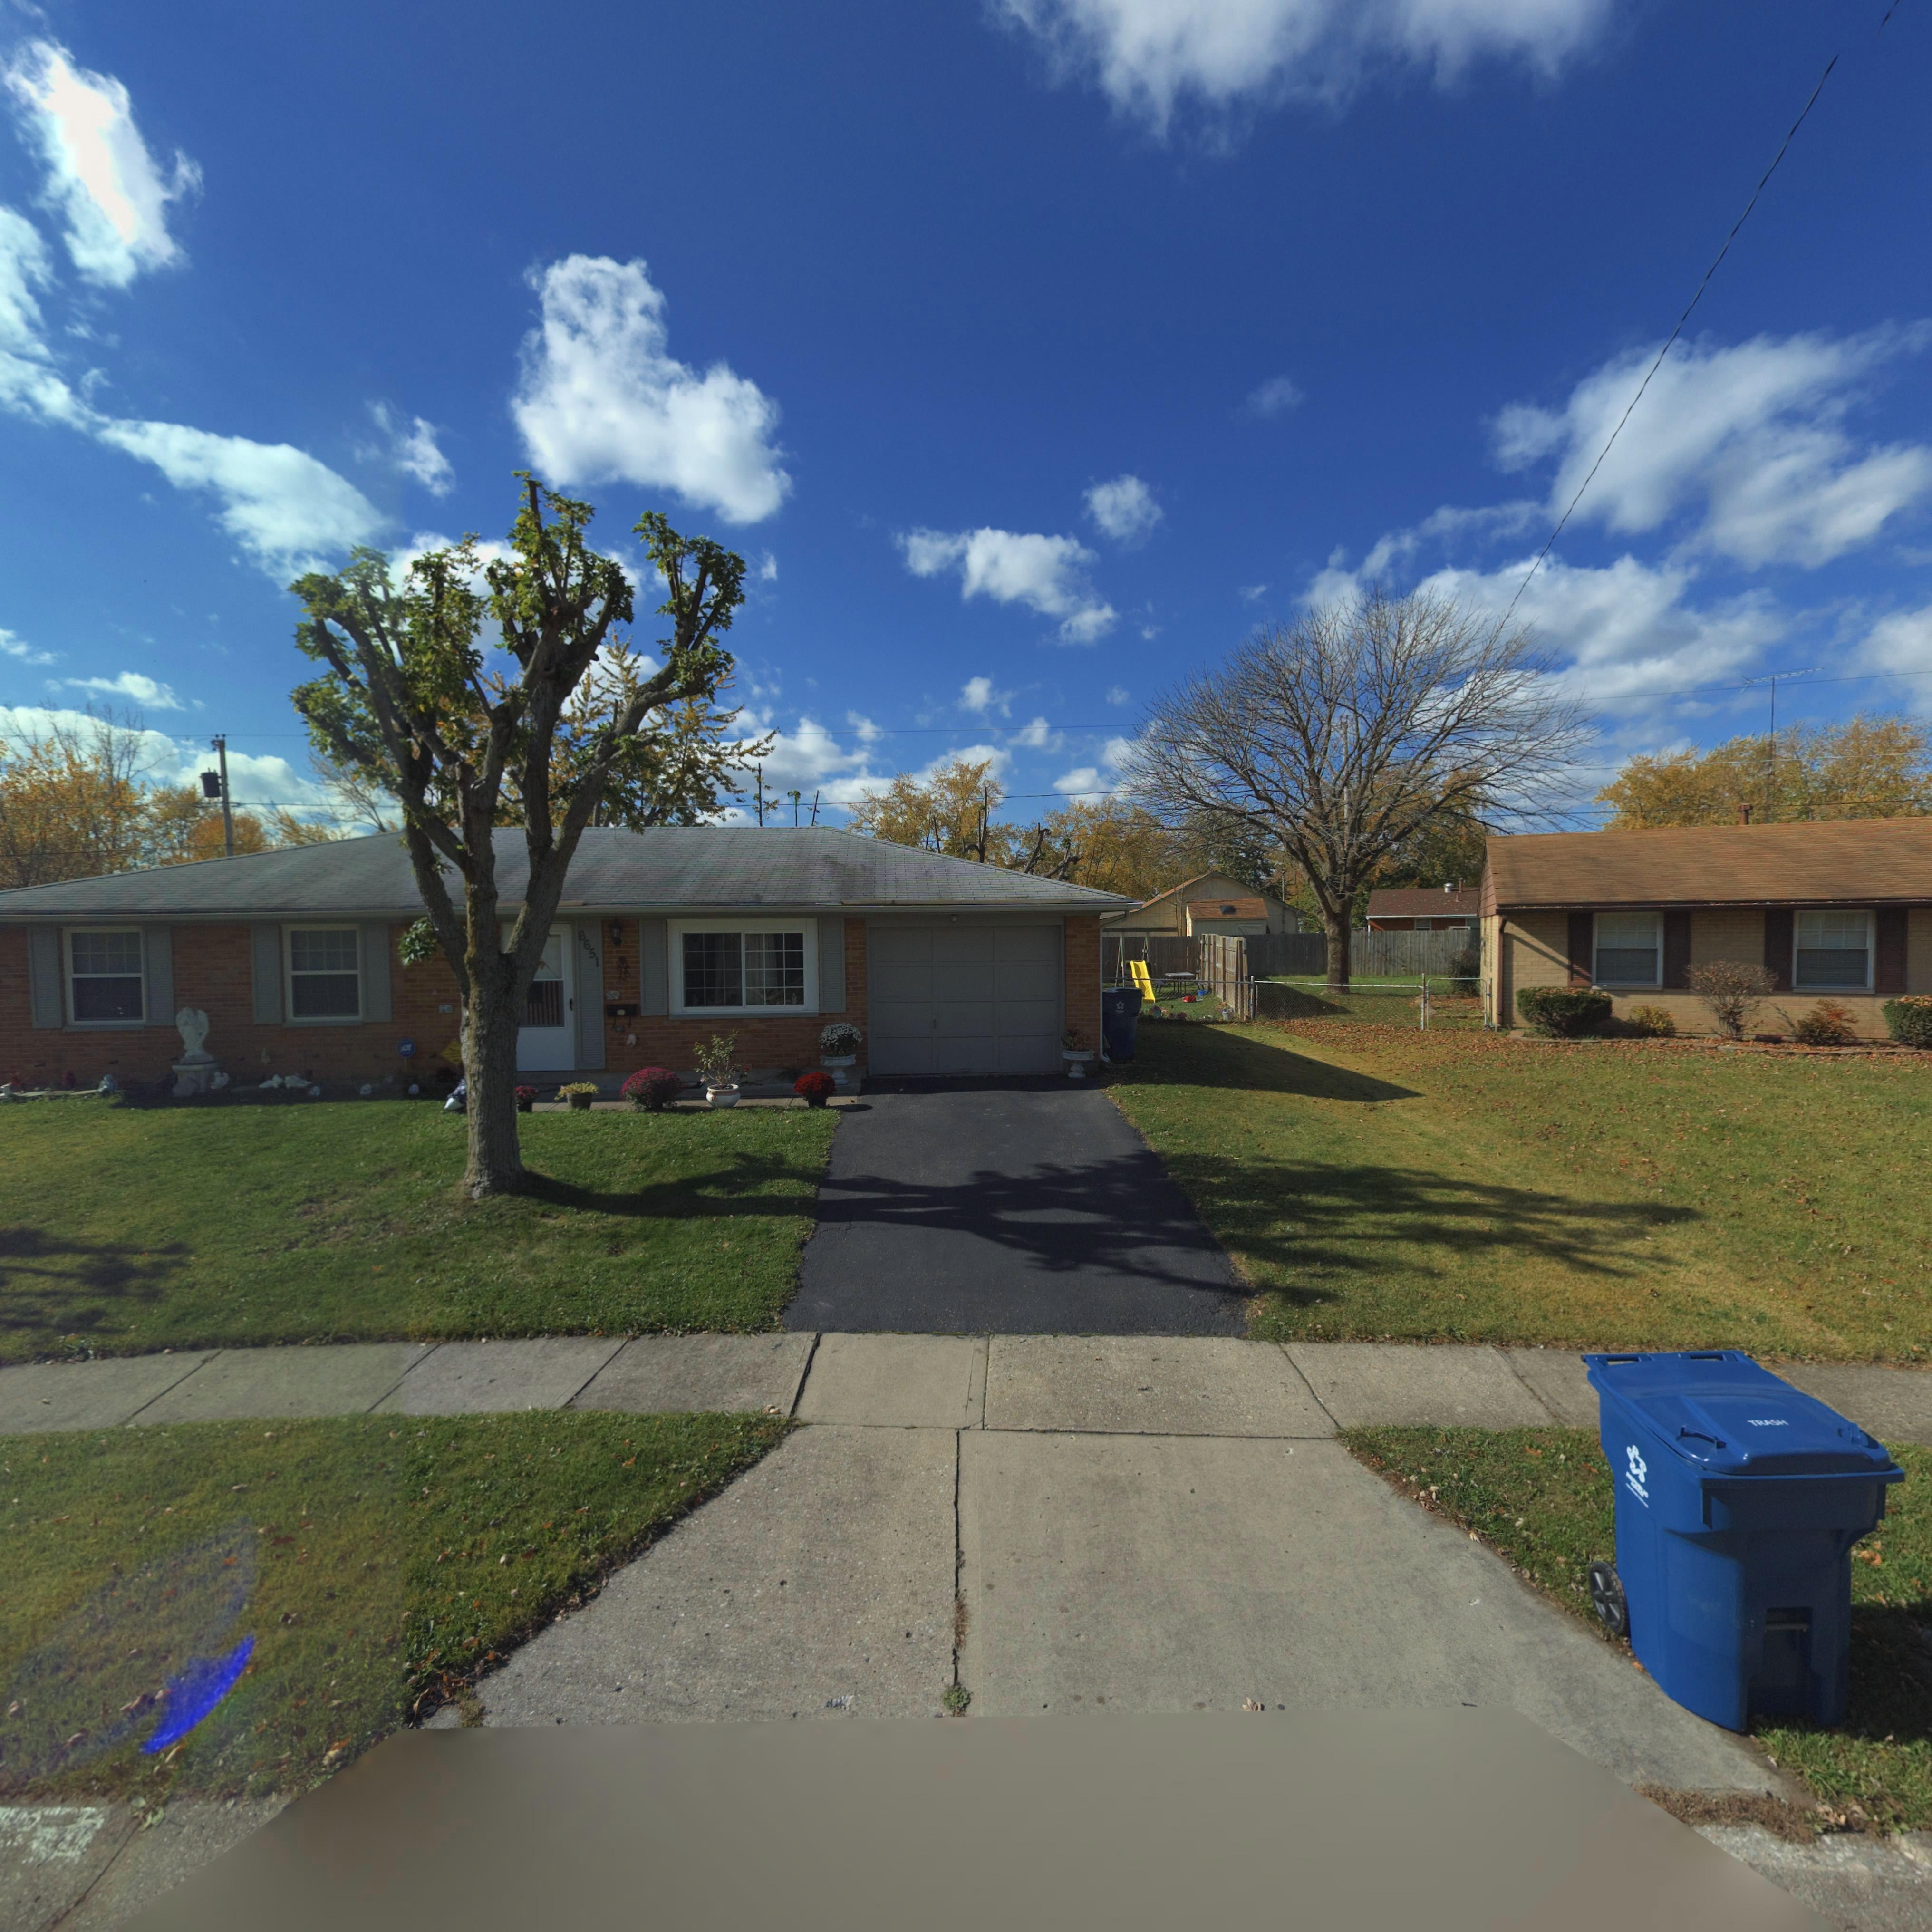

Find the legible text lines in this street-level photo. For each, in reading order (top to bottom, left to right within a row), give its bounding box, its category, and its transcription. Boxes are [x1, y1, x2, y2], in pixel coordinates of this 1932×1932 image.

[577, 929, 600, 968] StreetNumber: 6651